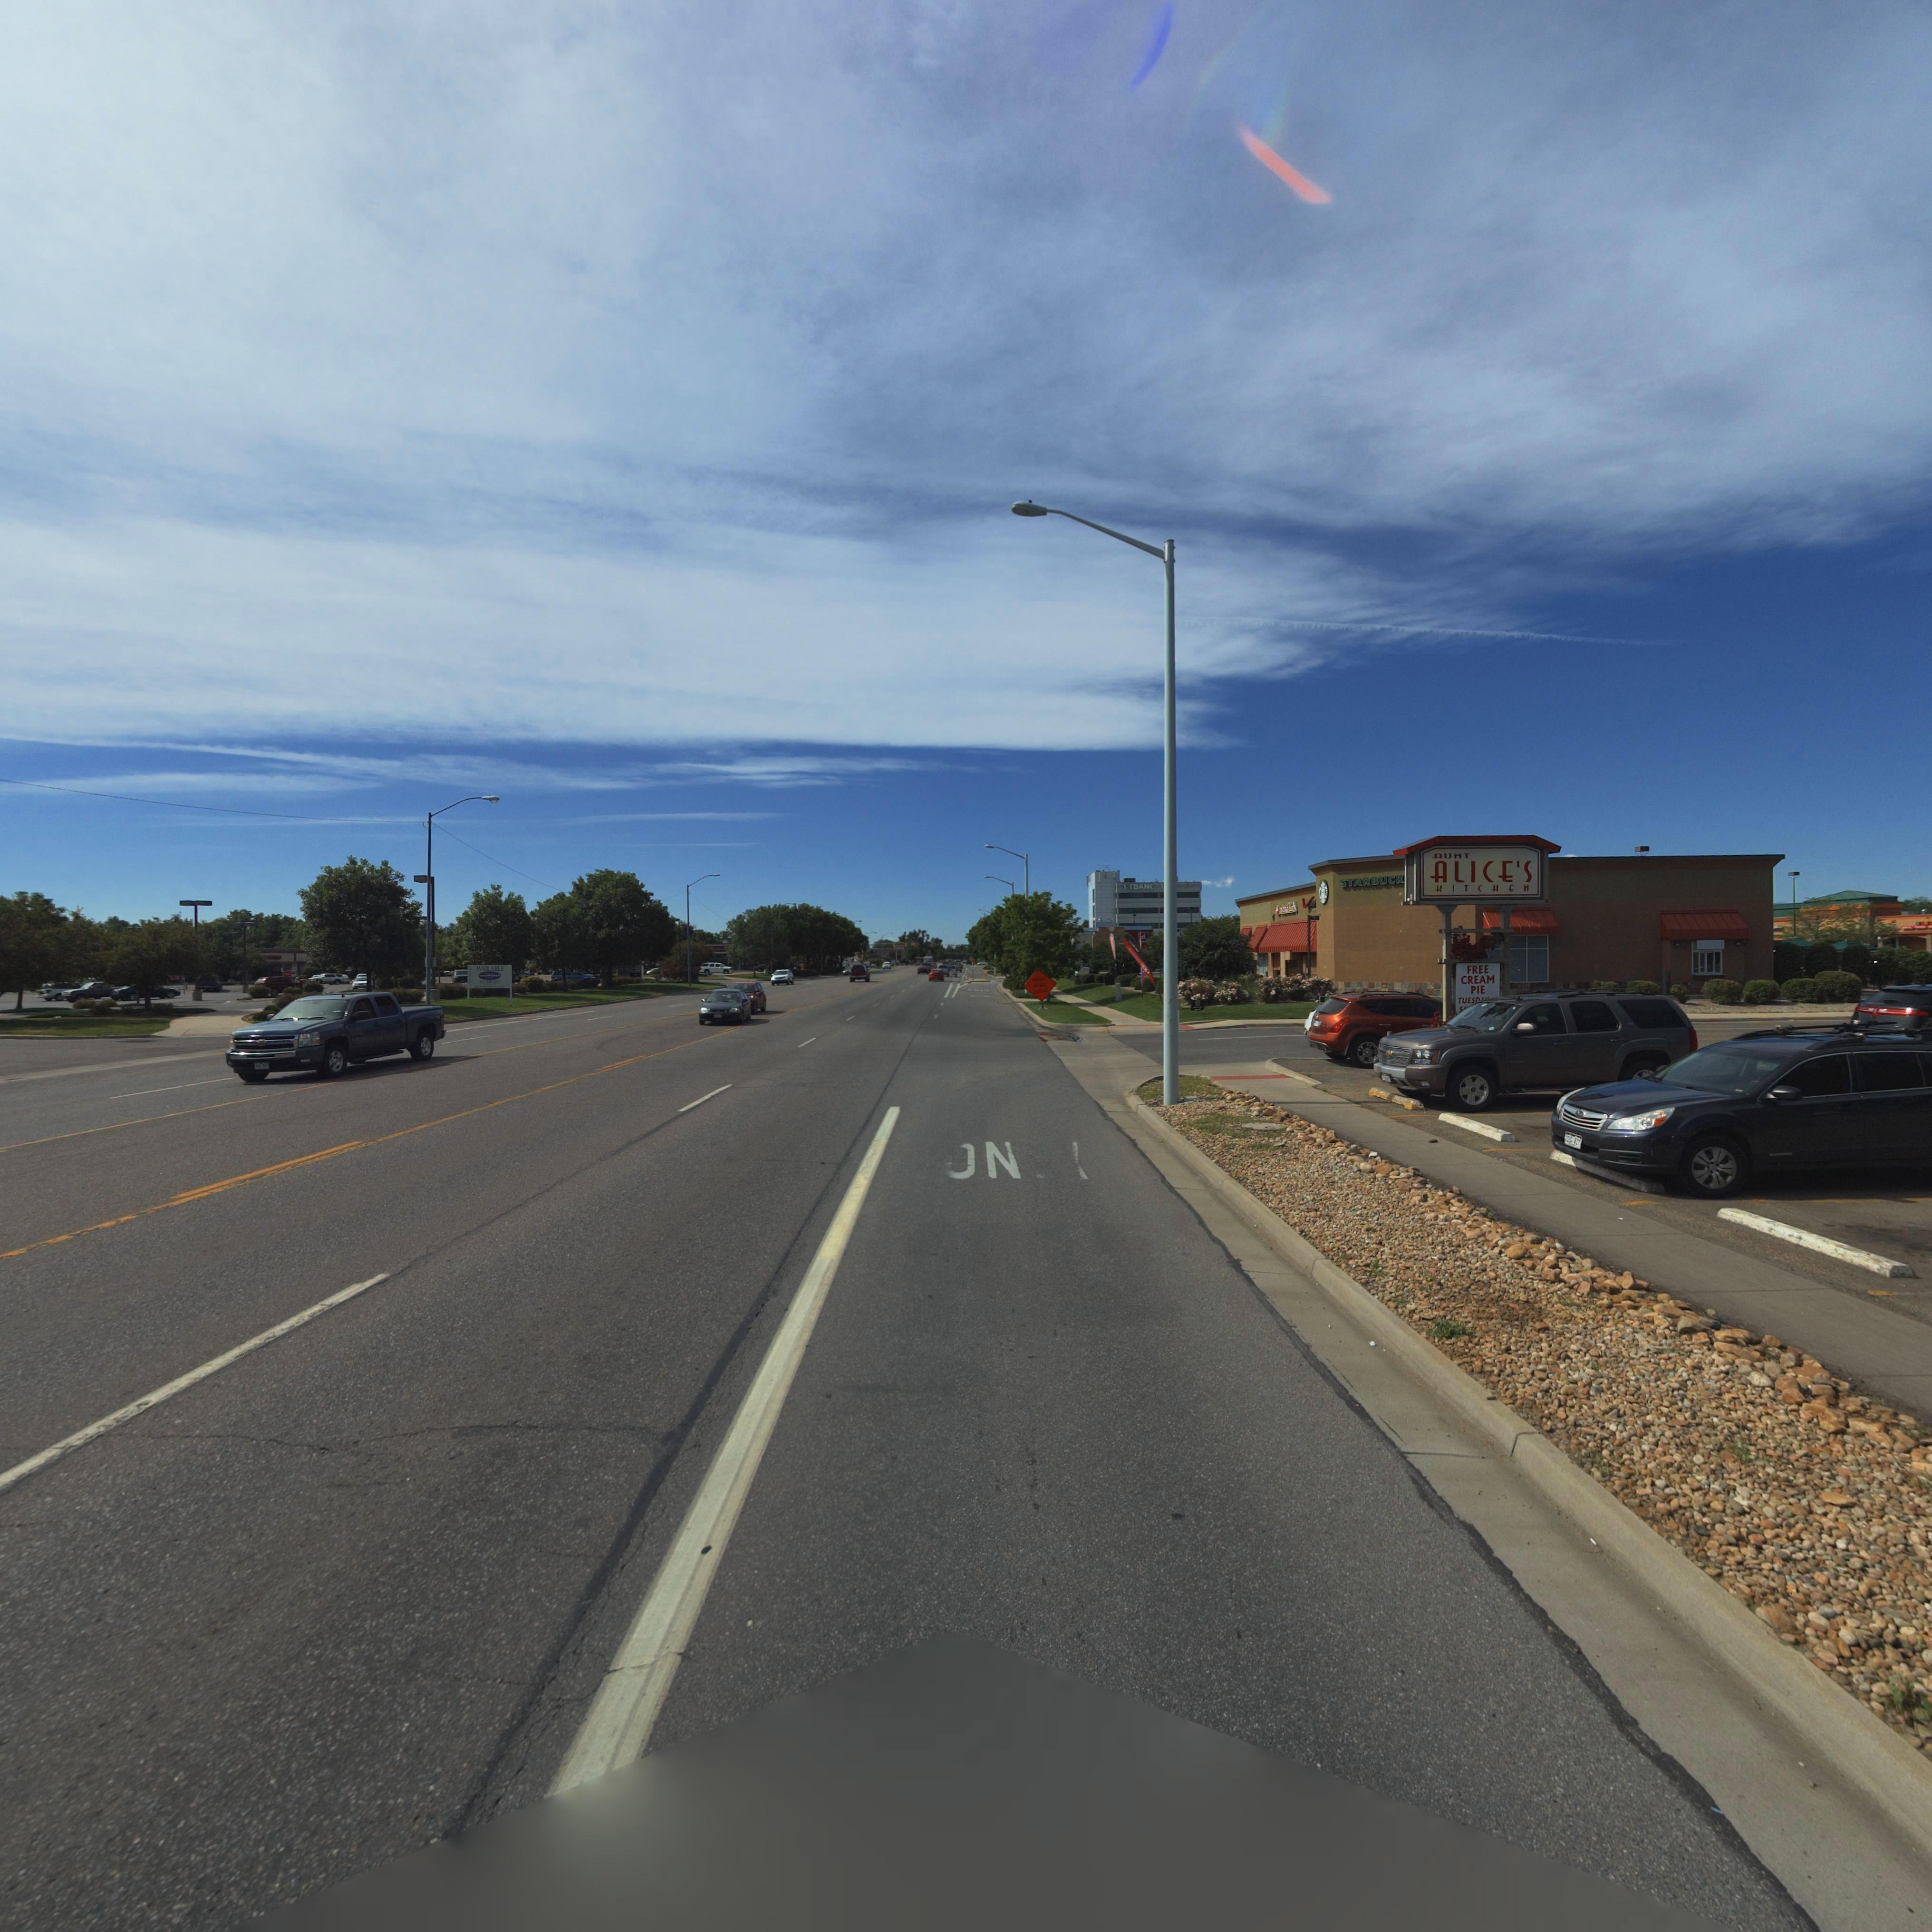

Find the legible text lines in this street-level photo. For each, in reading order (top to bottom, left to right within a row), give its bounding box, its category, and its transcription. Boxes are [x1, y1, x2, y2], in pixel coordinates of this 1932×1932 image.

[1431, 852, 1470, 859] BusinessName: AUNT
[1429, 860, 1532, 883] BusinessName: ALICE'S
[1339, 874, 1404, 887] BusinessName: STARBUCK
[1122, 883, 1153, 890] BusinessName: 1S*BAN*
[1434, 884, 1529, 892] BusinessName: KITCHEN
[1277, 900, 1297, 915] BusinessName: m*******
[1096, 933, 1125, 938] BusinessName: M**********
[1141, 933, 1147, 939] BusinessName: ck